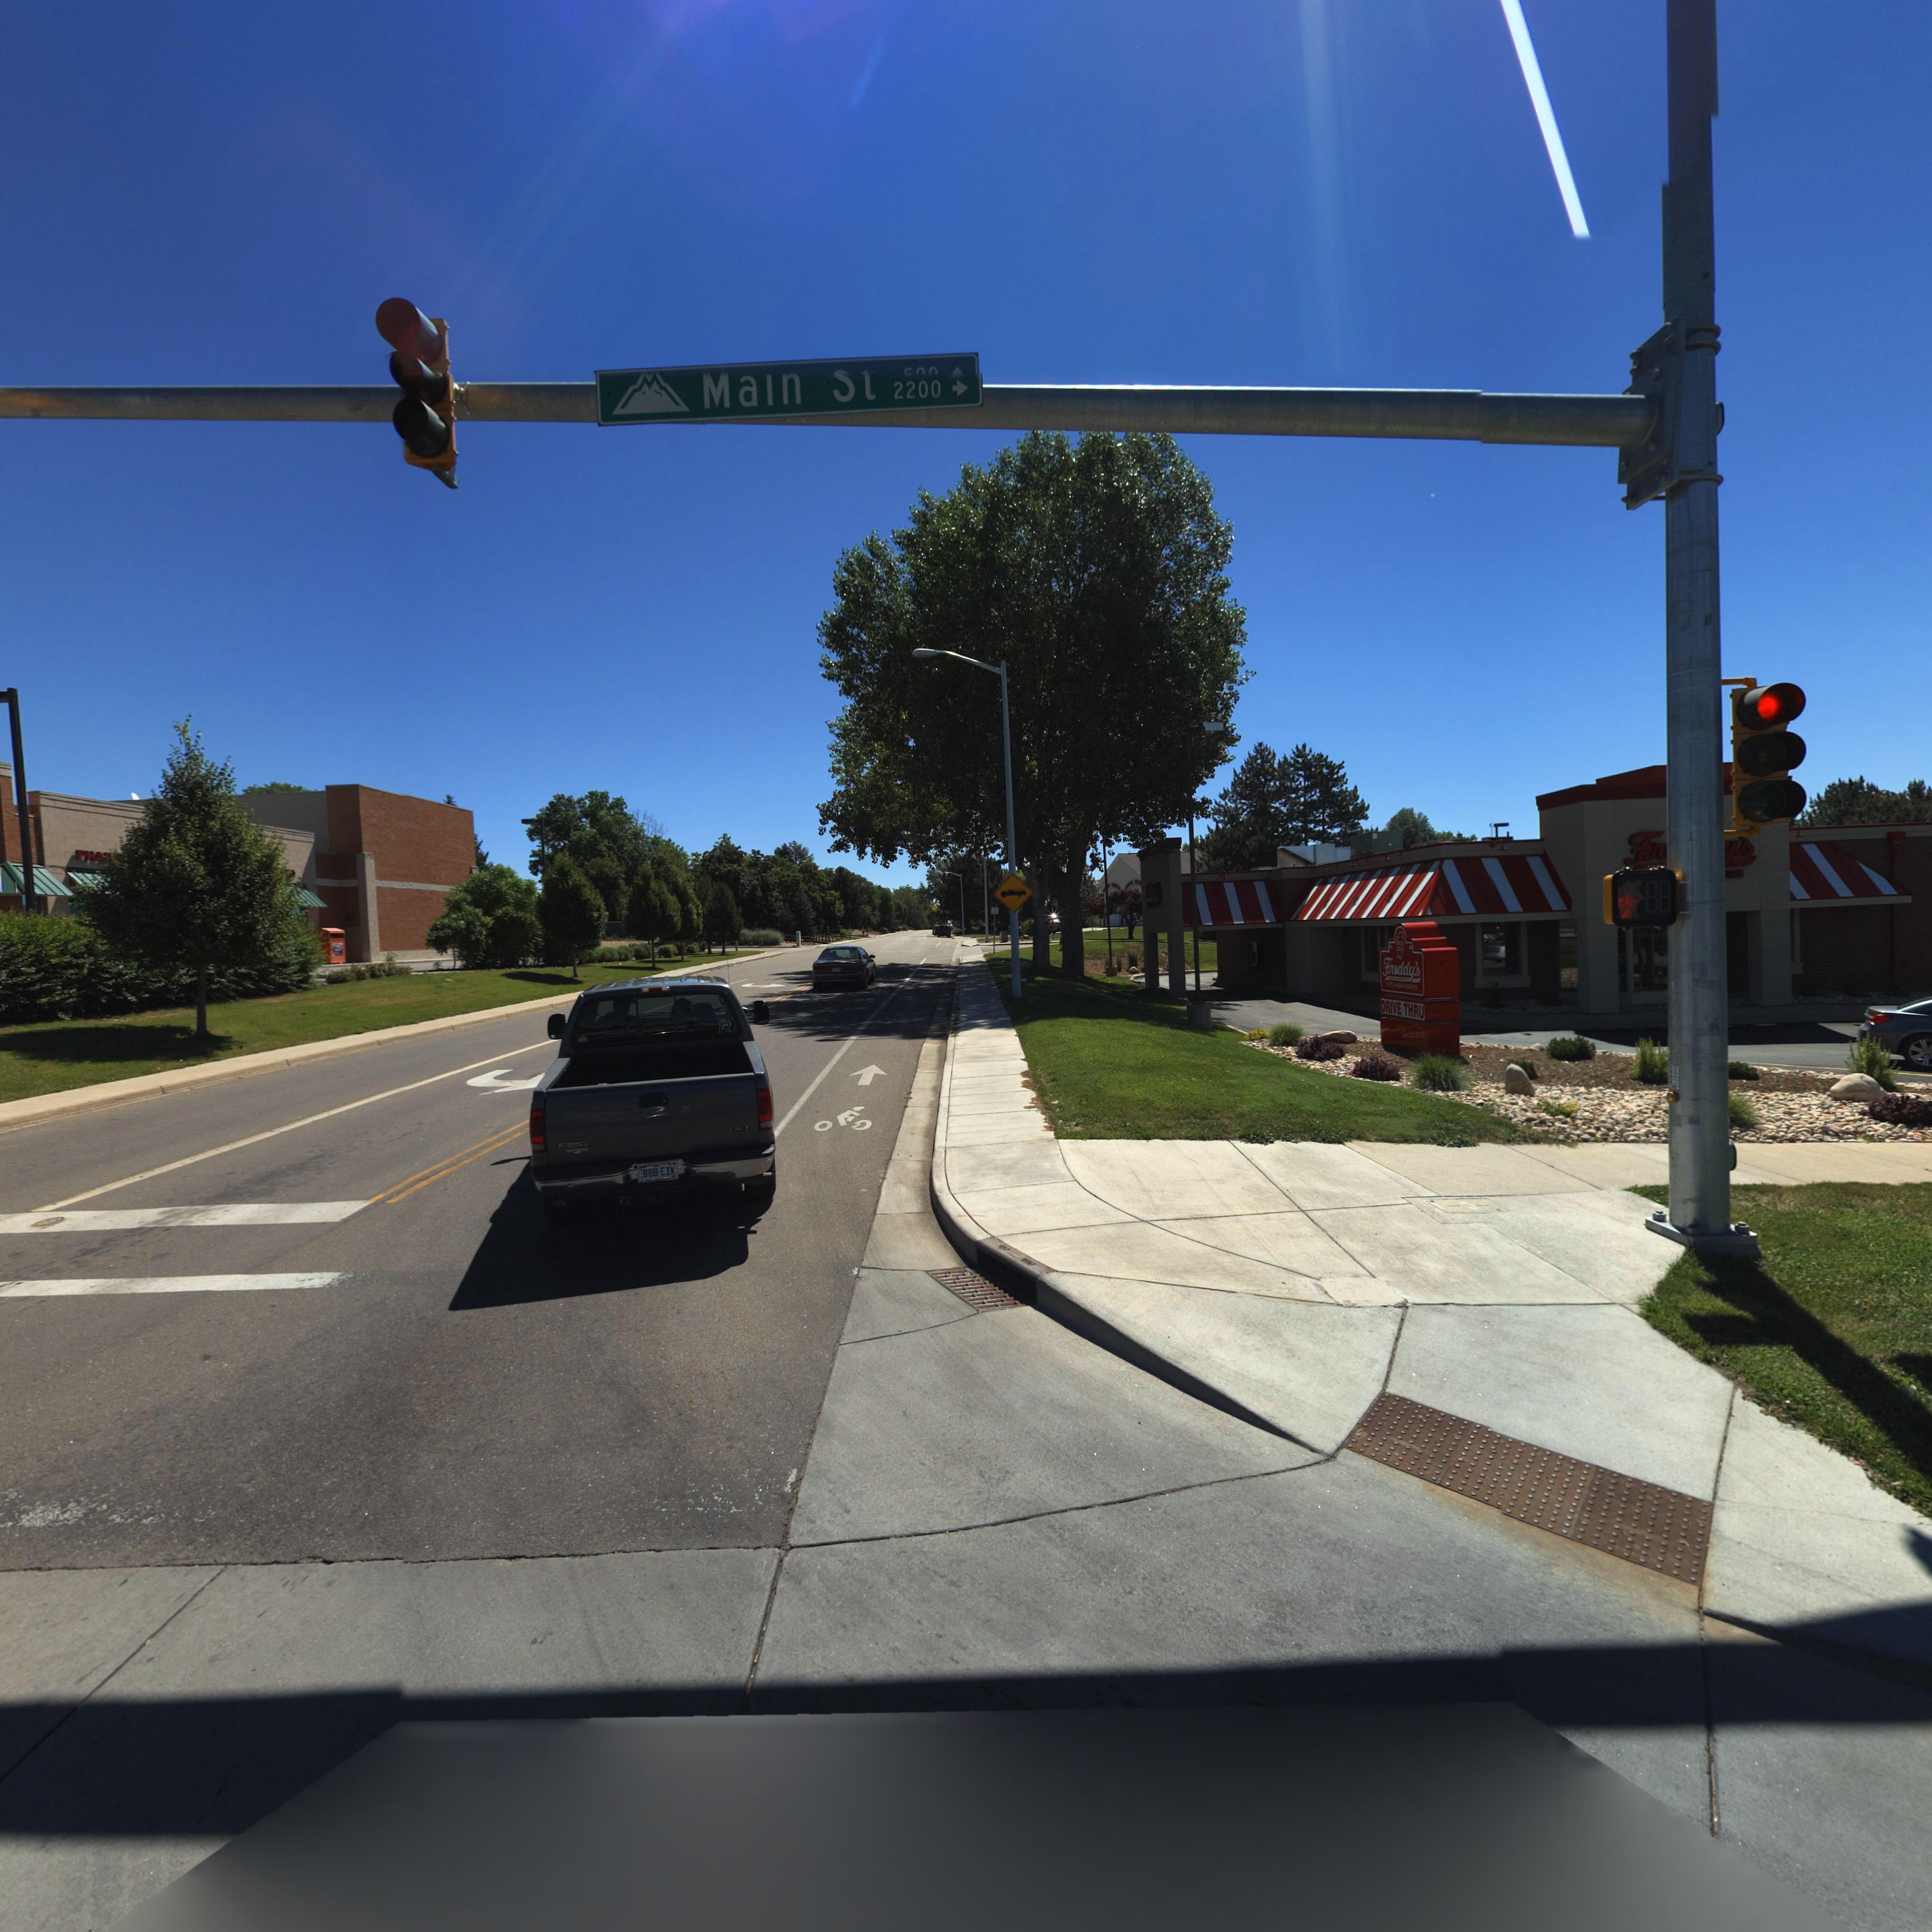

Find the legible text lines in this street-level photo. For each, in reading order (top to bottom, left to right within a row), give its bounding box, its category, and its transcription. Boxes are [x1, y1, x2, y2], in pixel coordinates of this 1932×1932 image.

[701, 367, 877, 410] StreetNumber: Main St
[1622, 830, 1756, 867] BusinessName: Fr***y*s
[1724, 868, 1745, 879] BusinessName: RS
[1382, 956, 1420, 982] BusinessName: Freddy's
[1386, 981, 1418, 990] BusinessName: STEA*BURGERS